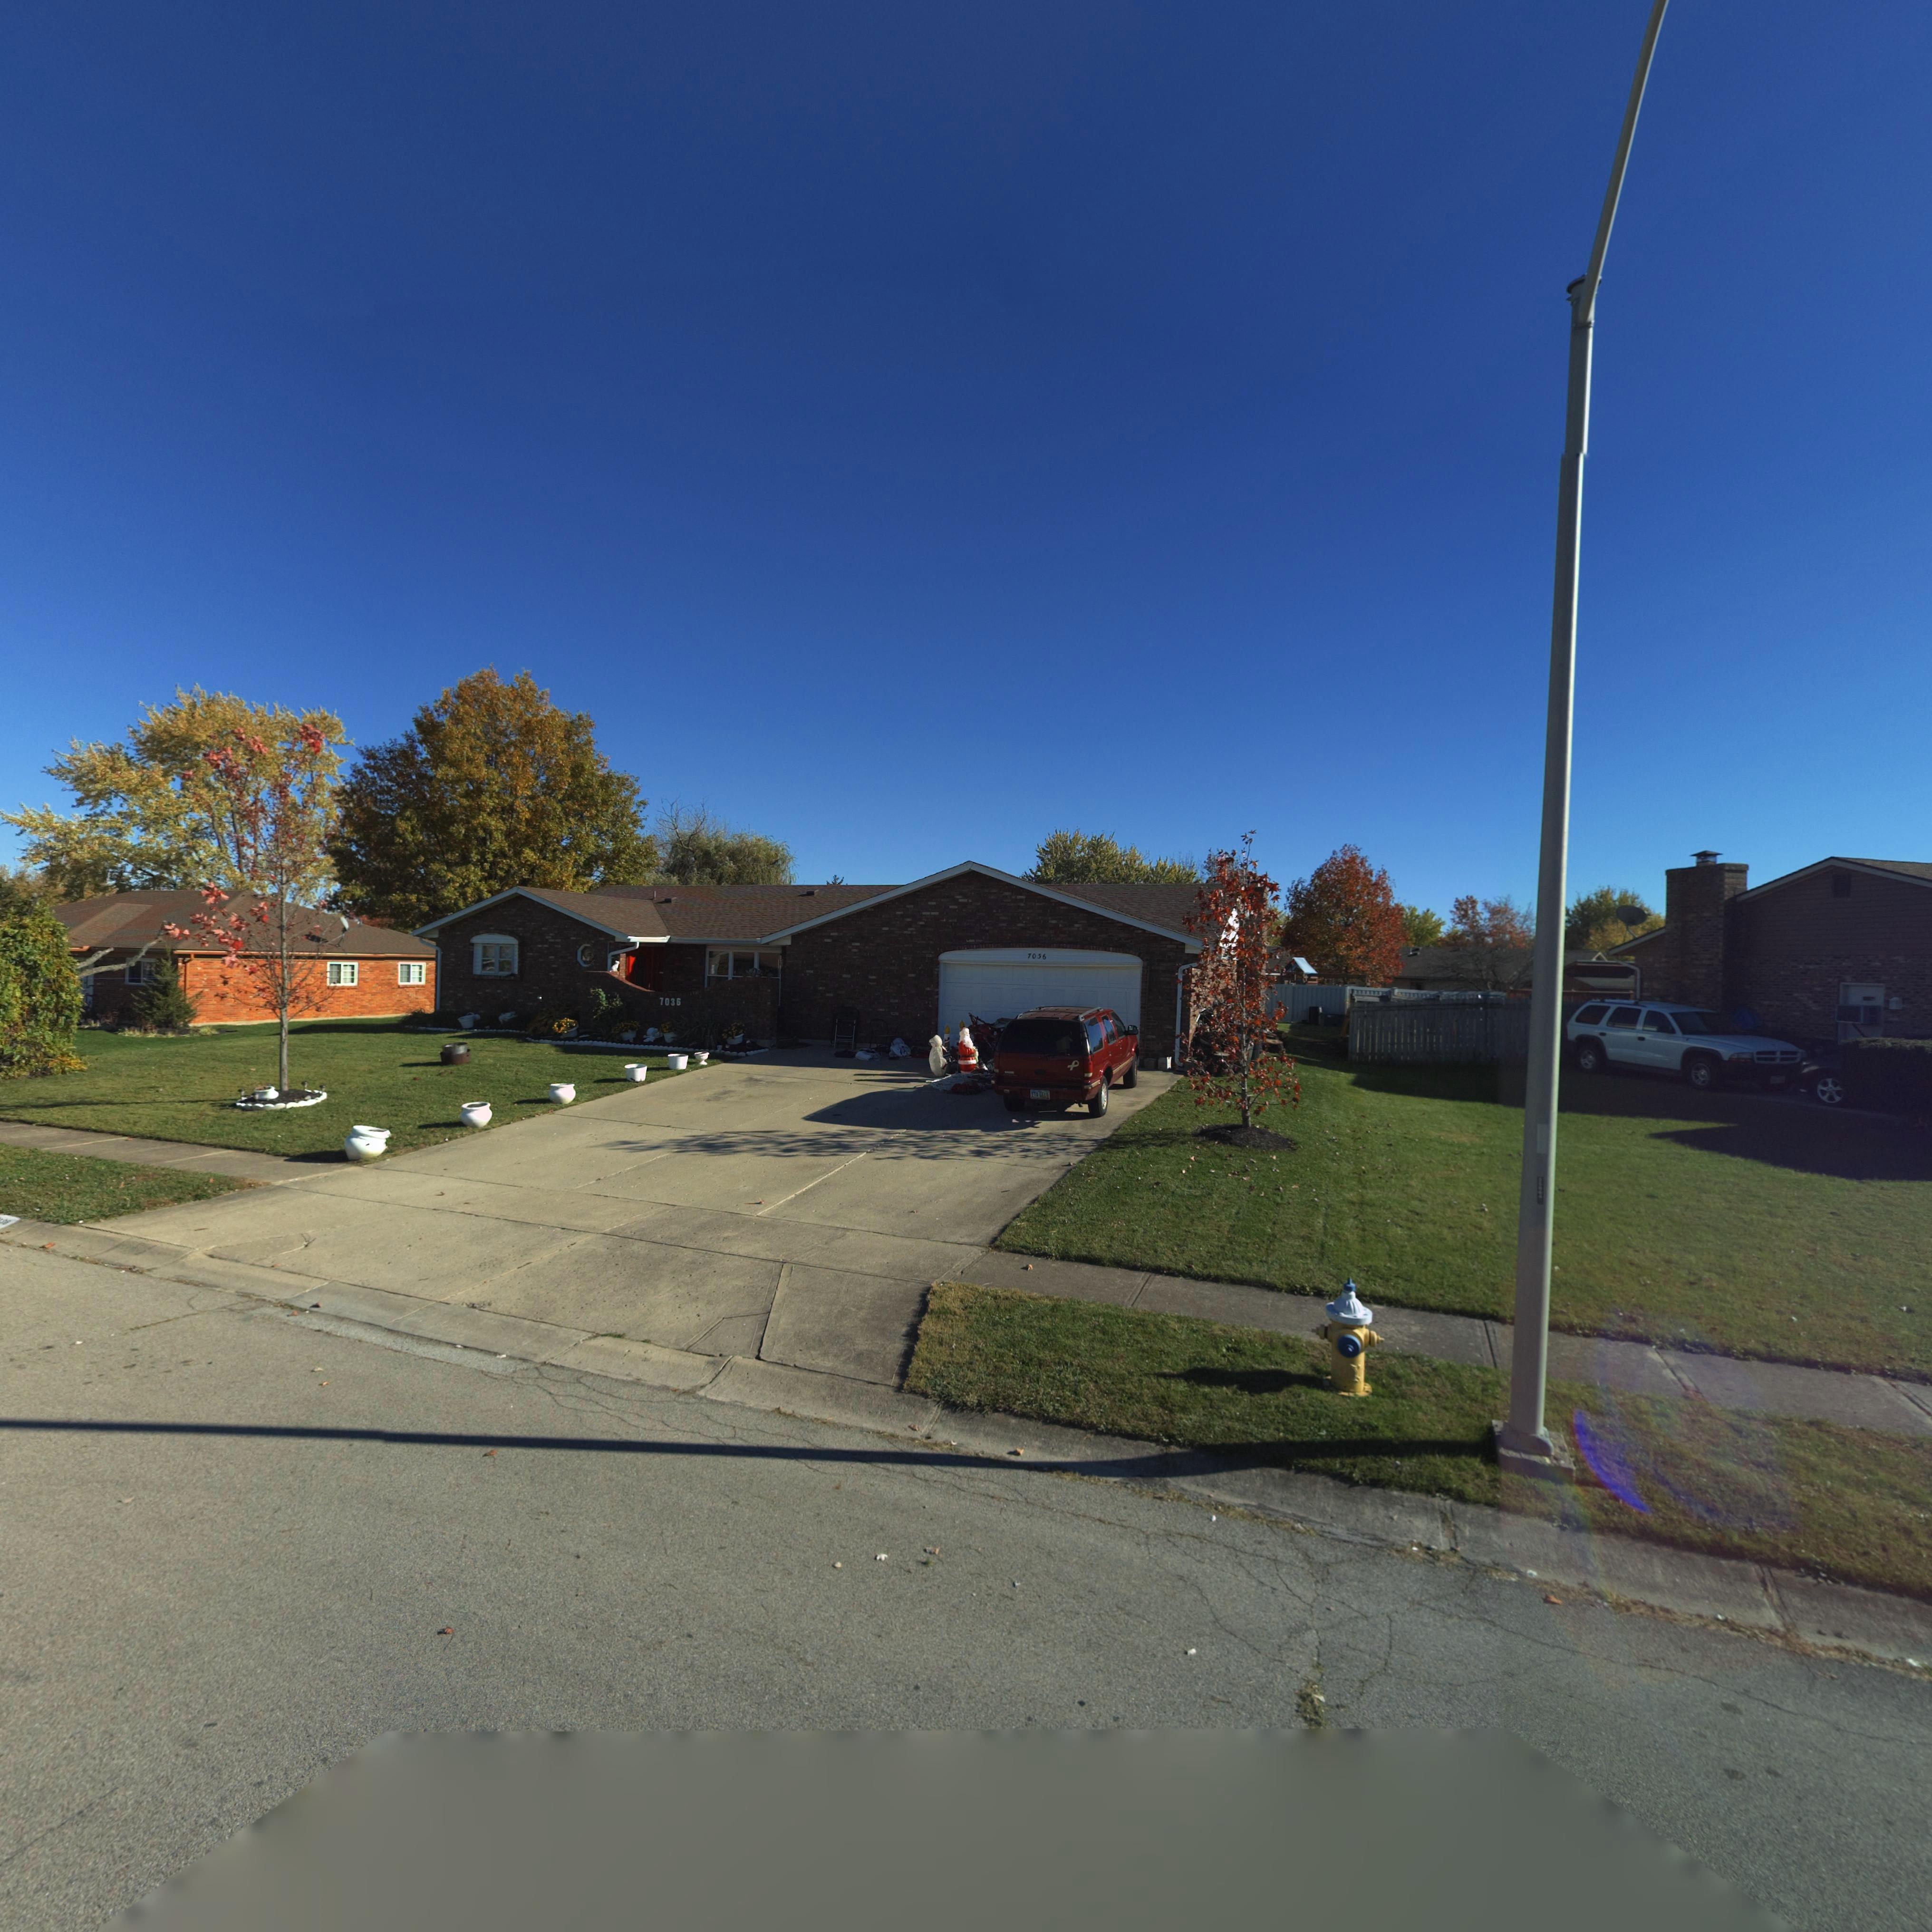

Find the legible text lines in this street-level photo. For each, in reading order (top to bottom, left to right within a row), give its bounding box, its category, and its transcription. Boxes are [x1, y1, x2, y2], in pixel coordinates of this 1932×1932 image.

[1027, 953, 1046, 960] StreetNumber: 7036
[659, 997, 681, 1006] StreetNumber: 7036
[0, 1218, 12, 1226] StreetNumber: *6